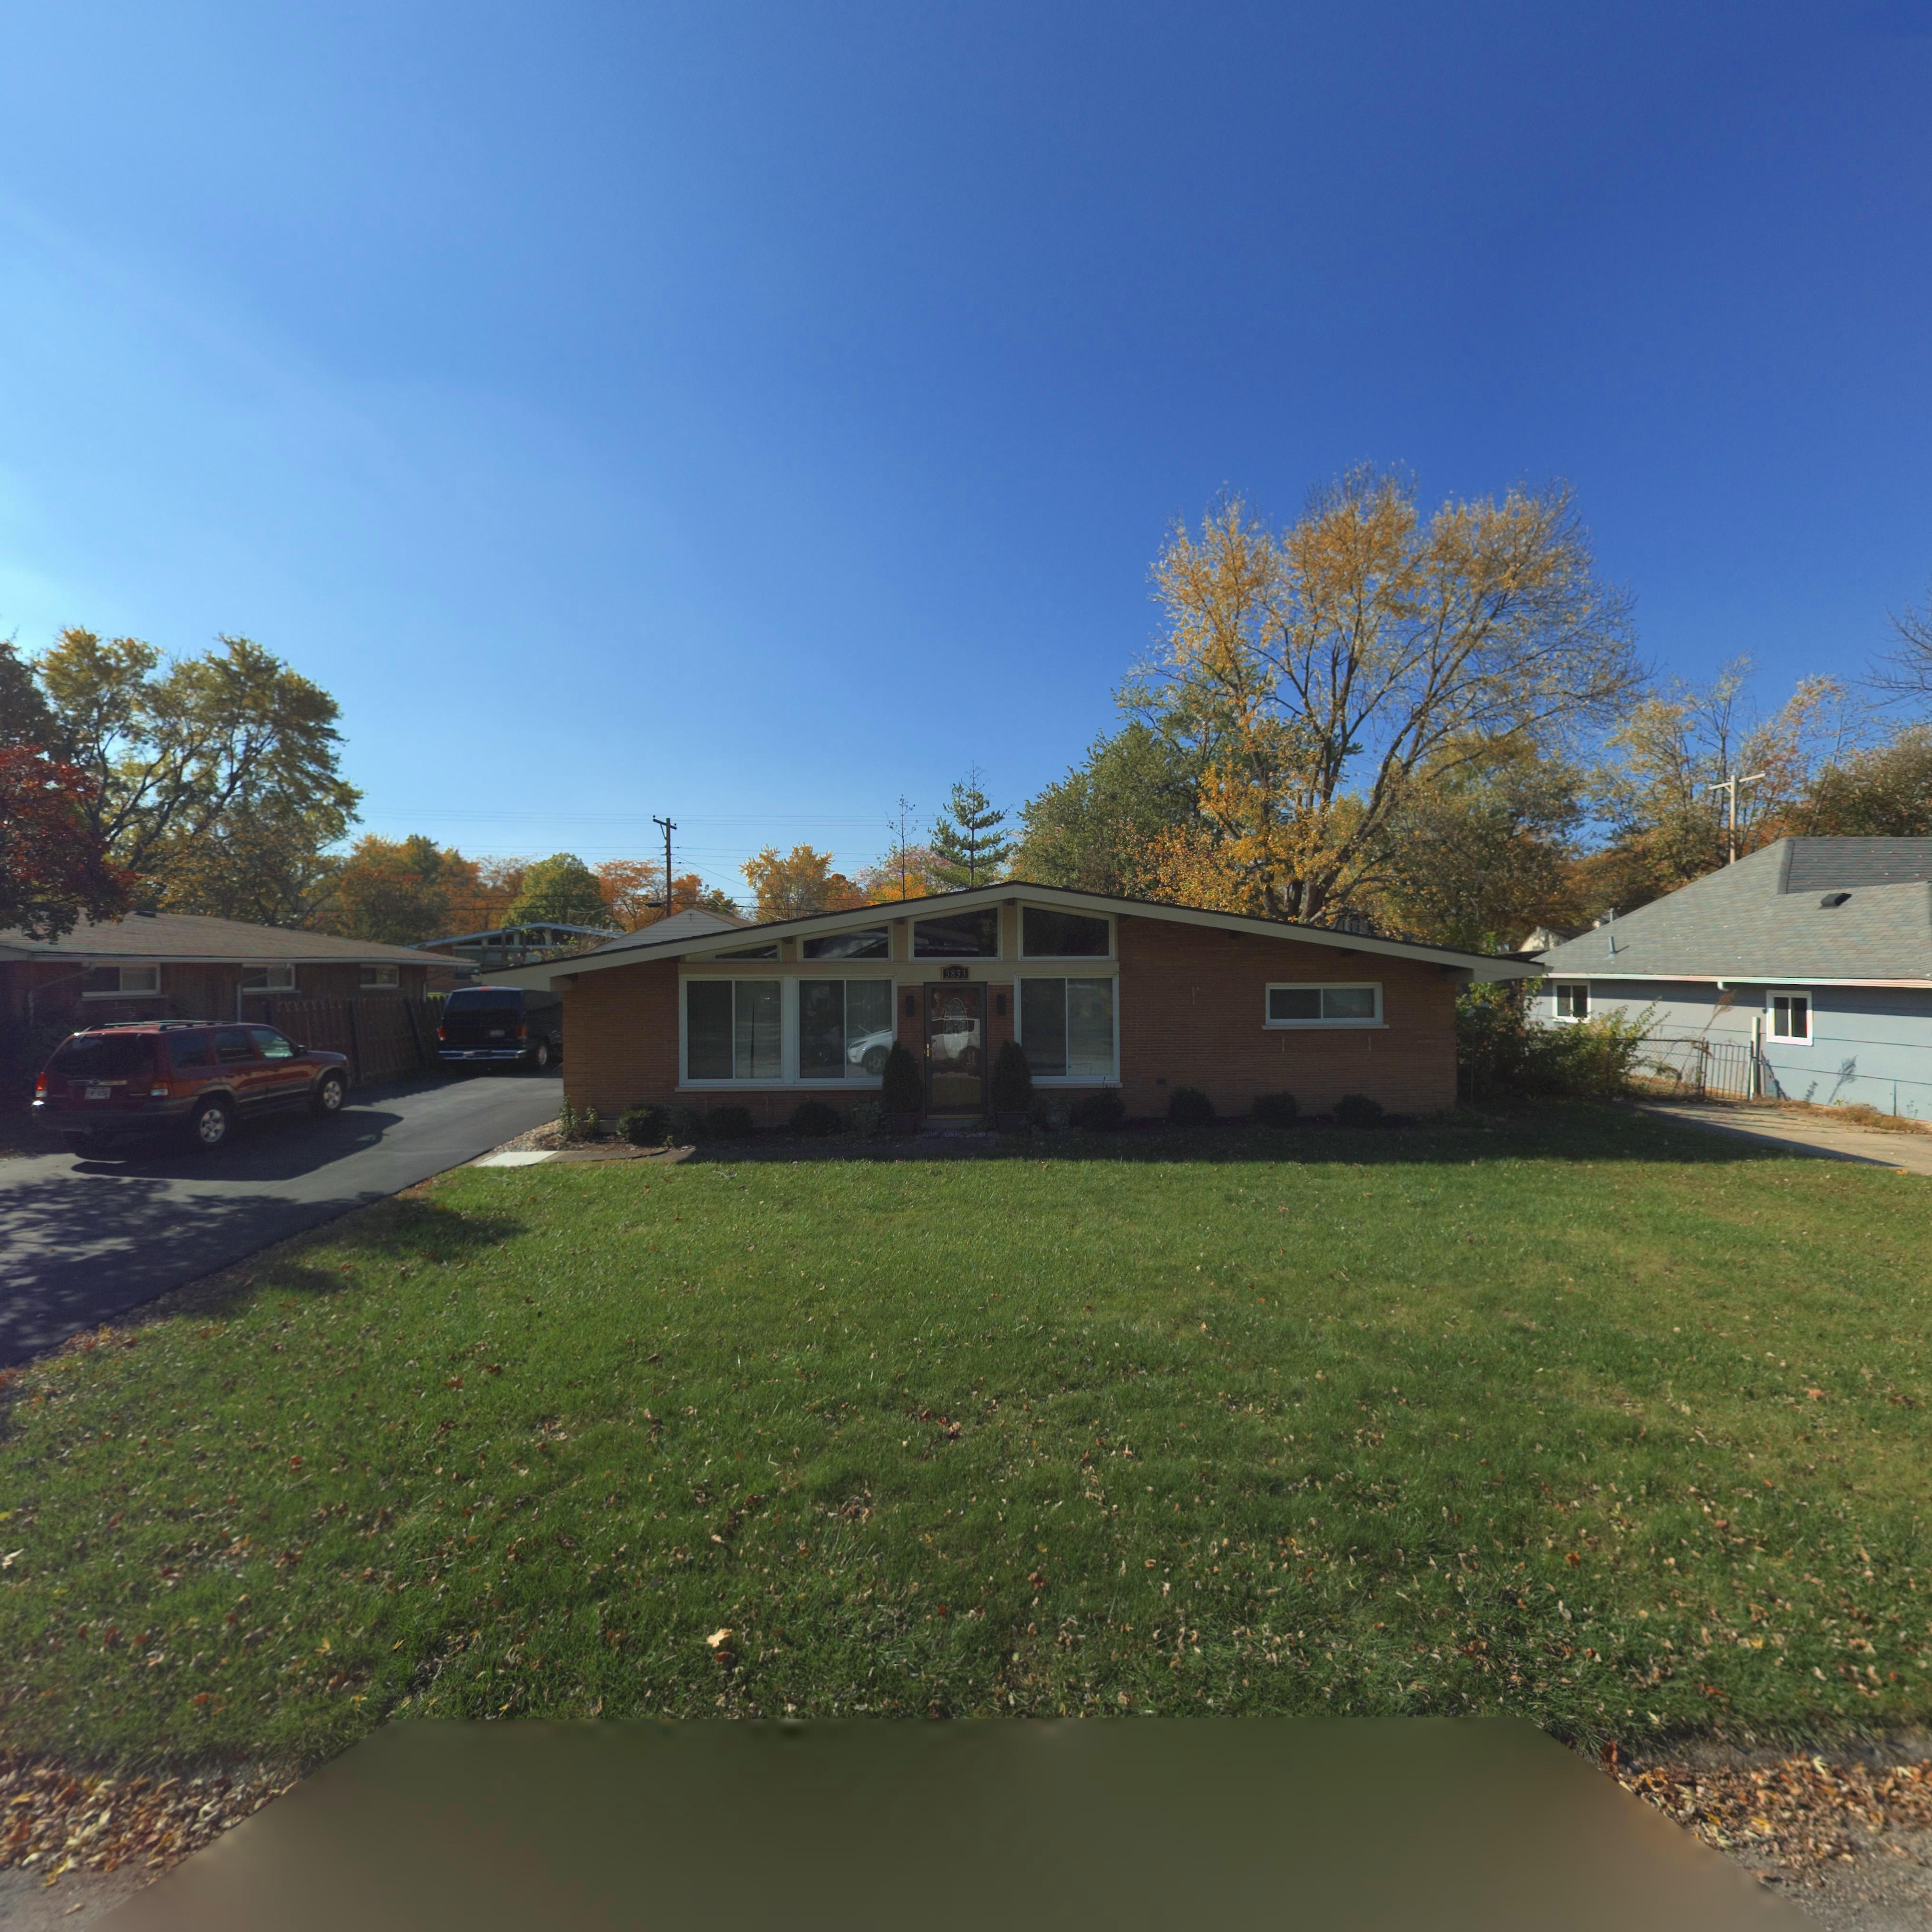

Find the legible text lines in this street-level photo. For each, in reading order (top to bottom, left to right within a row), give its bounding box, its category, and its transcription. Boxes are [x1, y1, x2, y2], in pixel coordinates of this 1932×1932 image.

[945, 969, 966, 978] StreetNumber: 3833